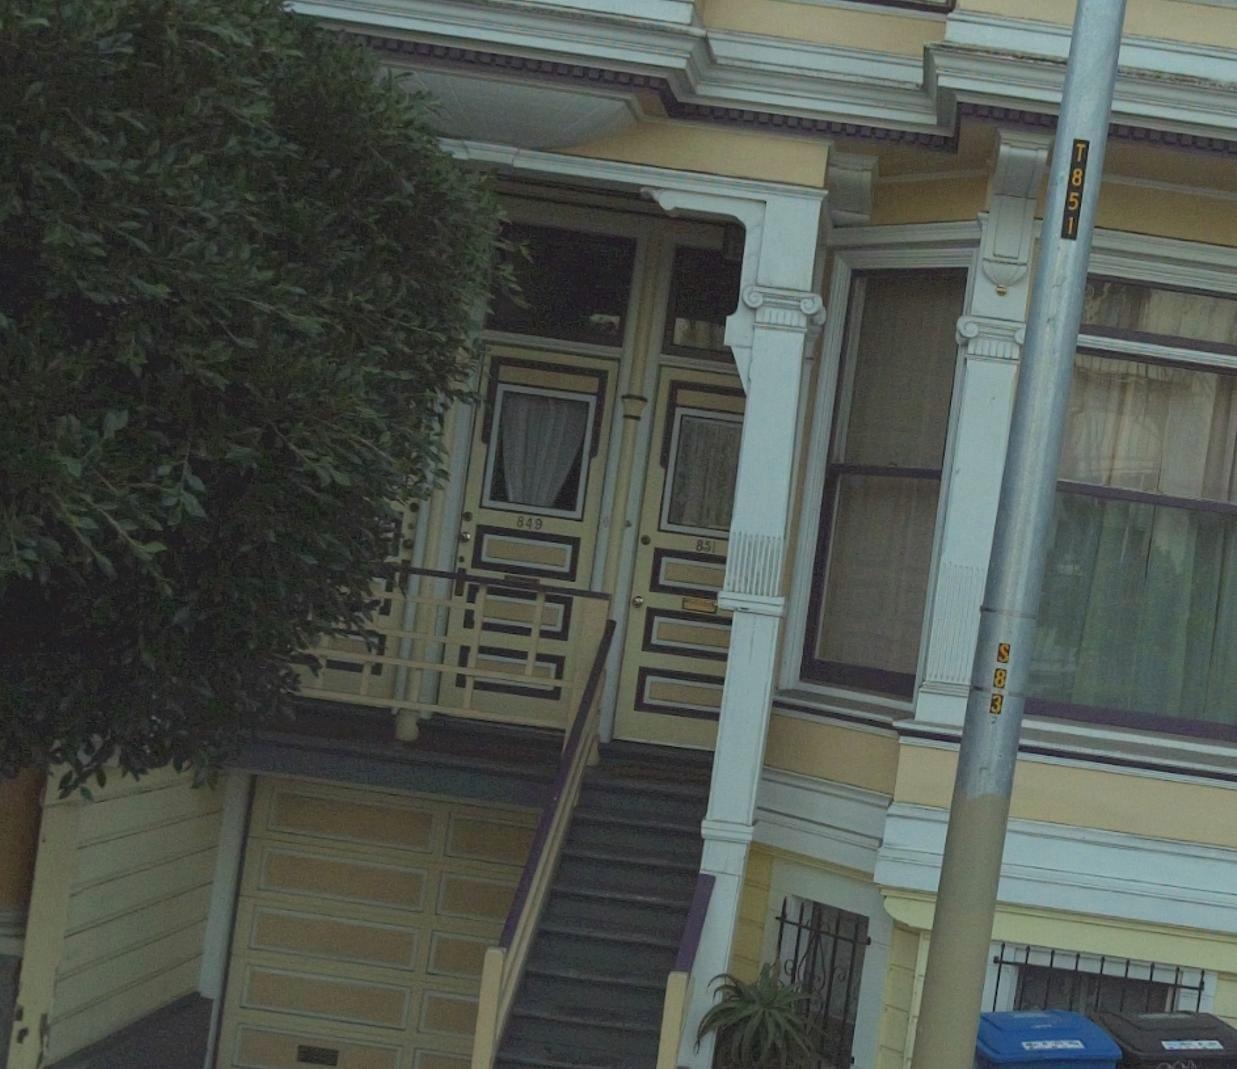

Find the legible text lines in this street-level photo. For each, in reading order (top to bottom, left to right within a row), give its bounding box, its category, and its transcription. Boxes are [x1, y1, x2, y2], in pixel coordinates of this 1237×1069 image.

[1064, 137, 1091, 239] None: T851
[513, 513, 546, 534] StreetNumber: 849
[694, 536, 717, 556] StreetNumber: 851
[987, 639, 1013, 716] None: S83